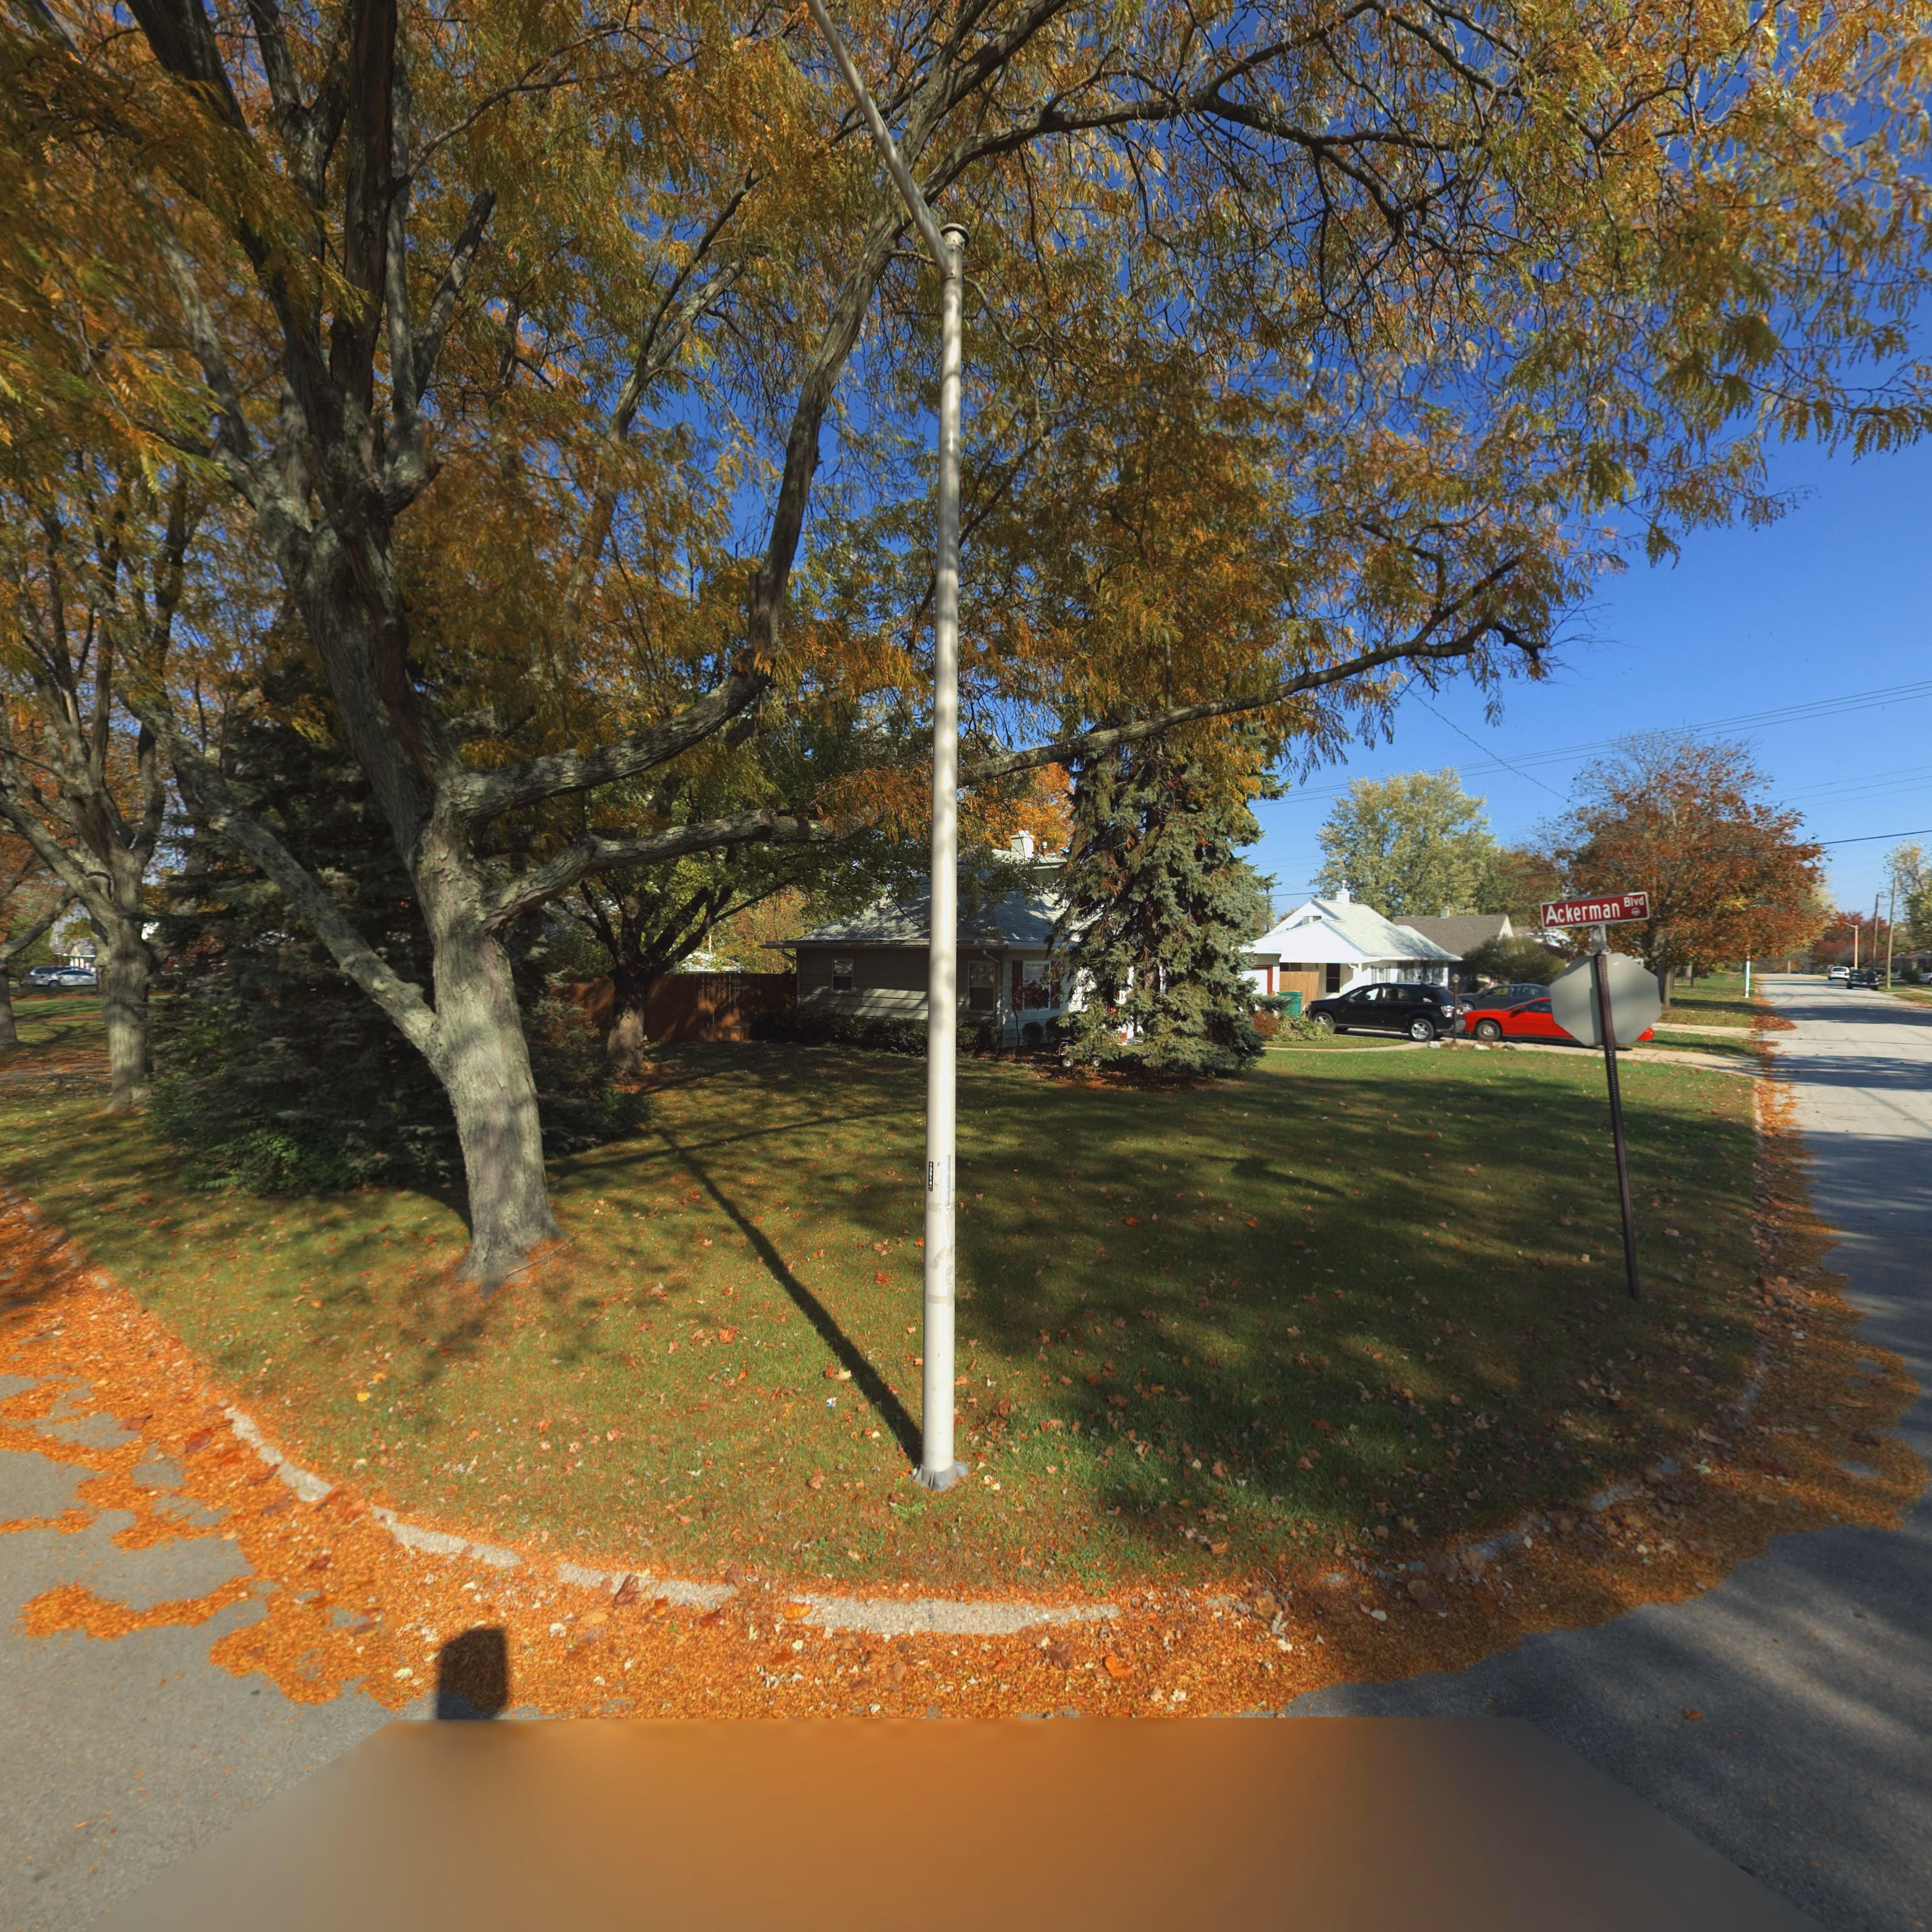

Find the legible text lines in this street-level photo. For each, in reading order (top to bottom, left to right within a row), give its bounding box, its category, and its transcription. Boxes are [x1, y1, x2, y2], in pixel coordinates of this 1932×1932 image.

[1543, 893, 1647, 927] StreetName: Ackerman Blvd